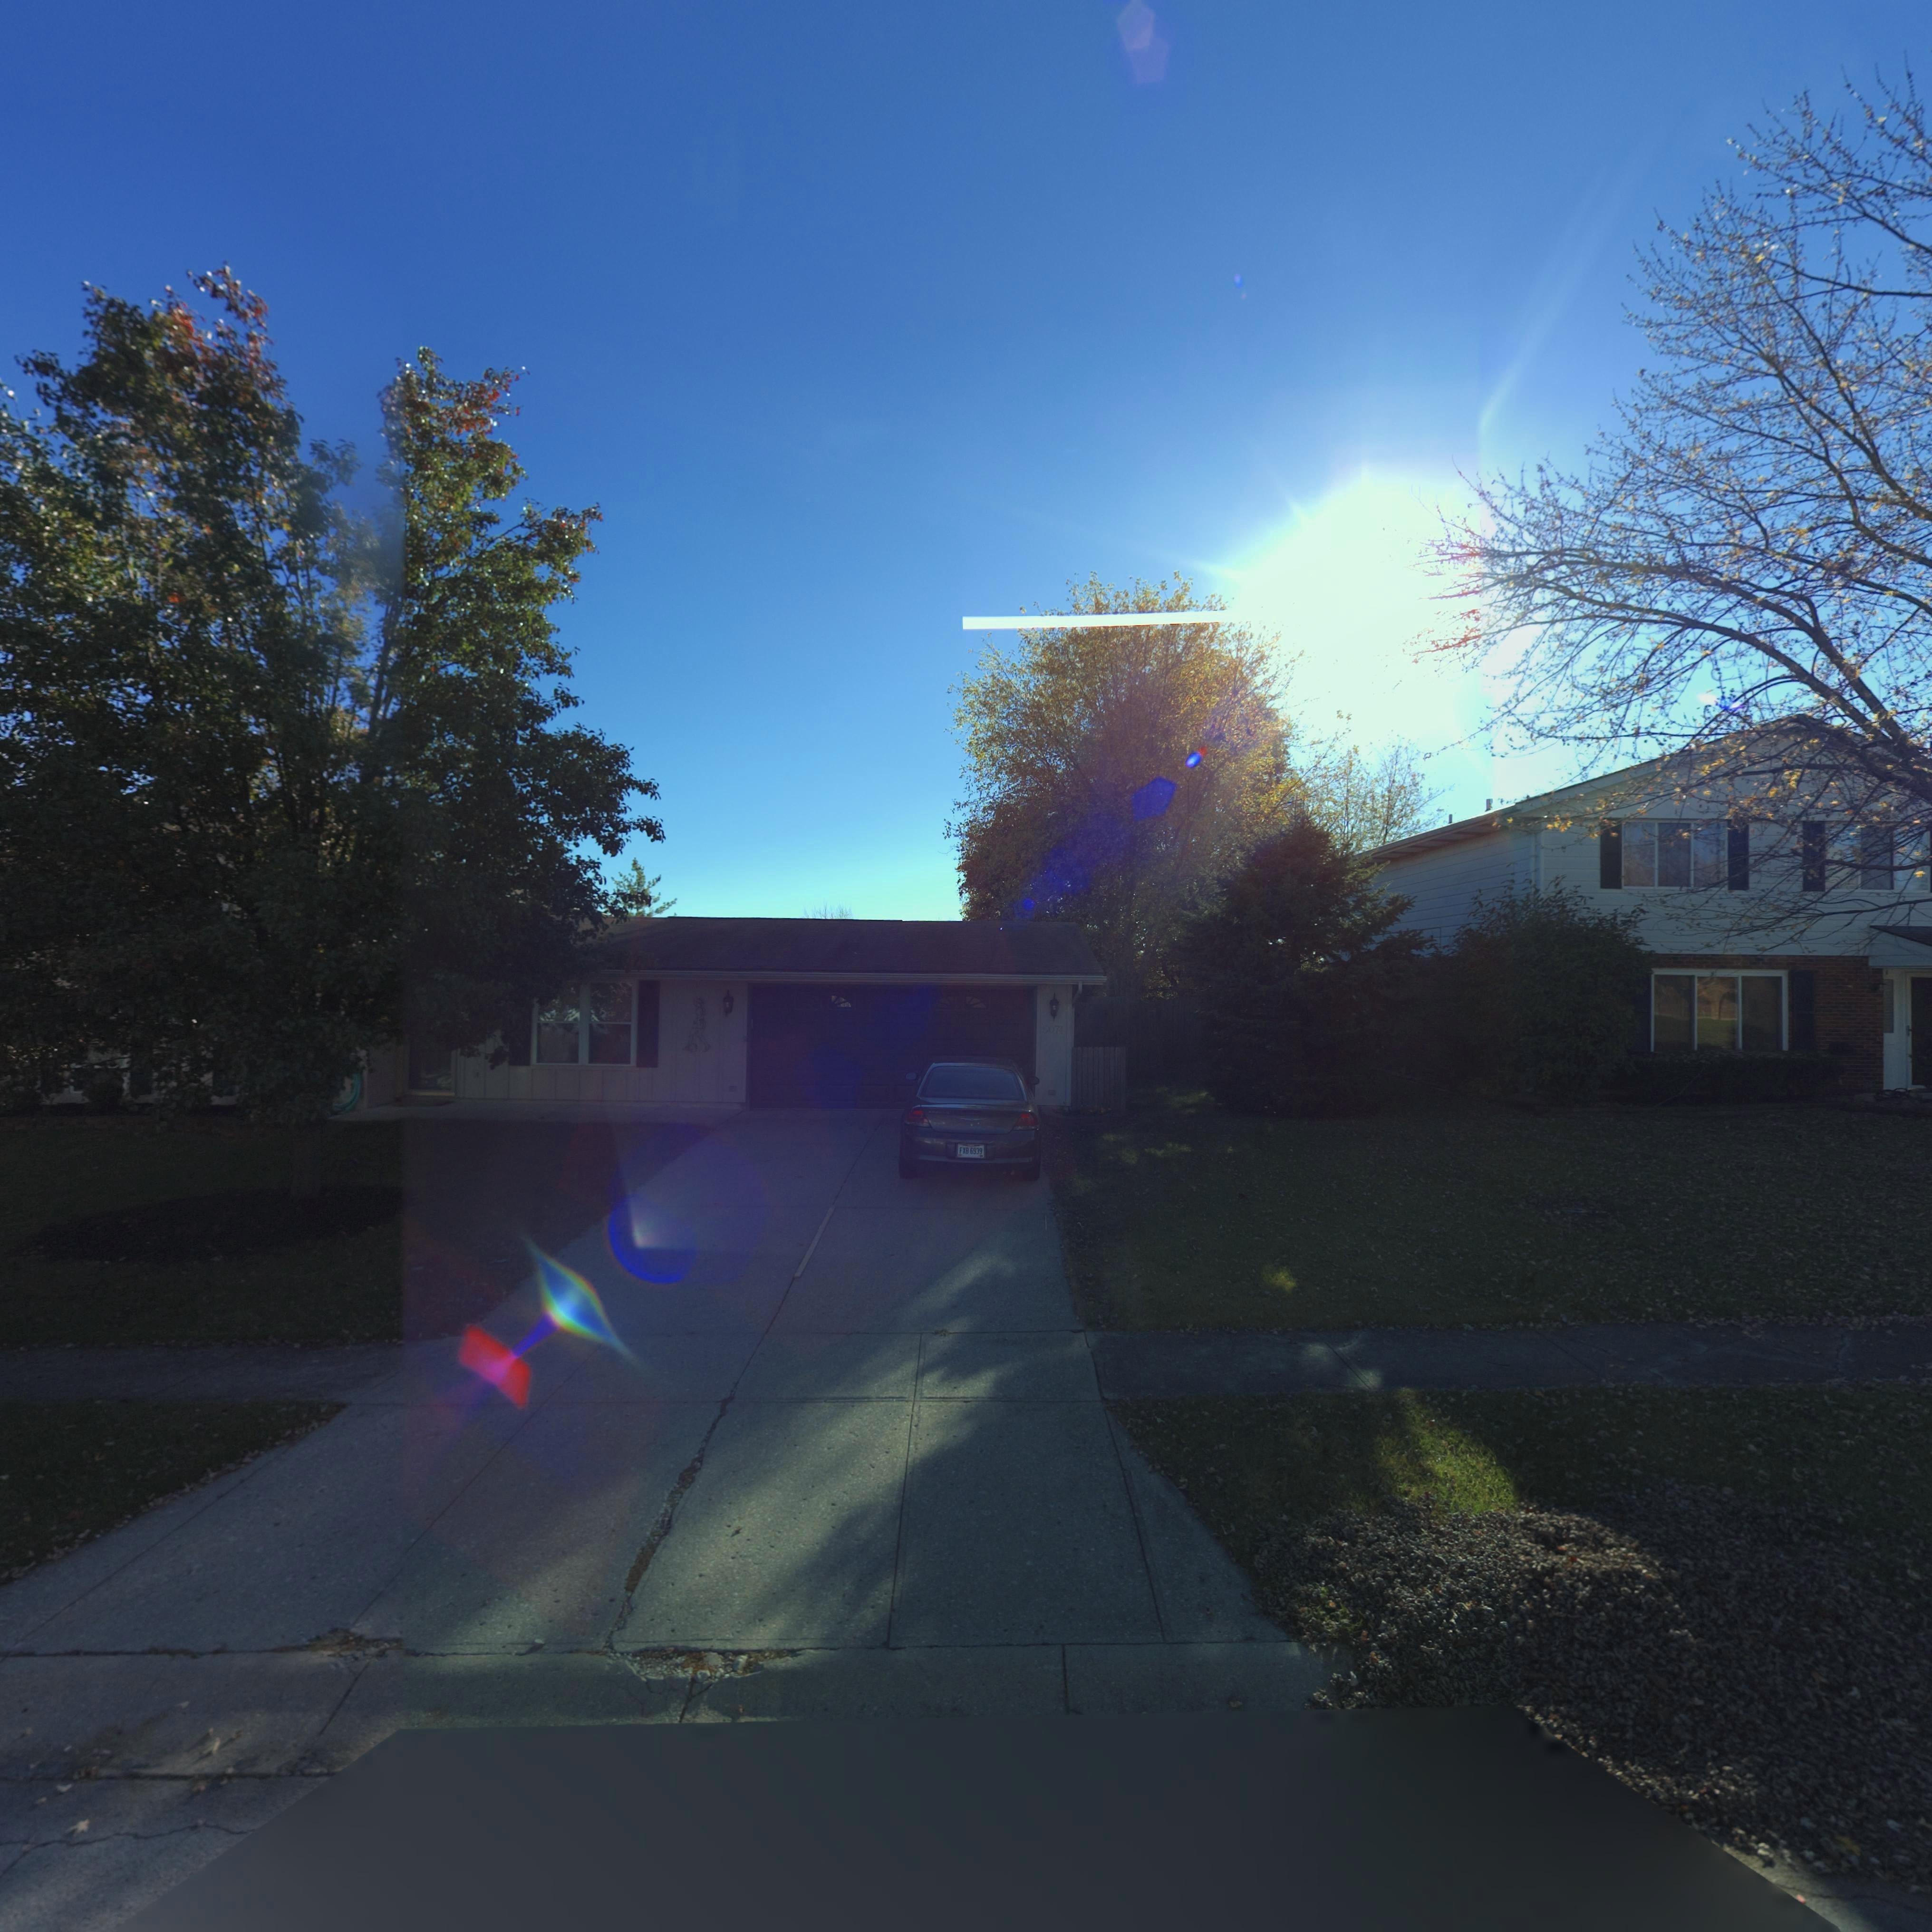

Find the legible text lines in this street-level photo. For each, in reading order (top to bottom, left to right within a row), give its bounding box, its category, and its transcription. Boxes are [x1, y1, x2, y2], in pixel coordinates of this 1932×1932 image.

[1042, 1024, 1064, 1034] StreetNumber: 5074